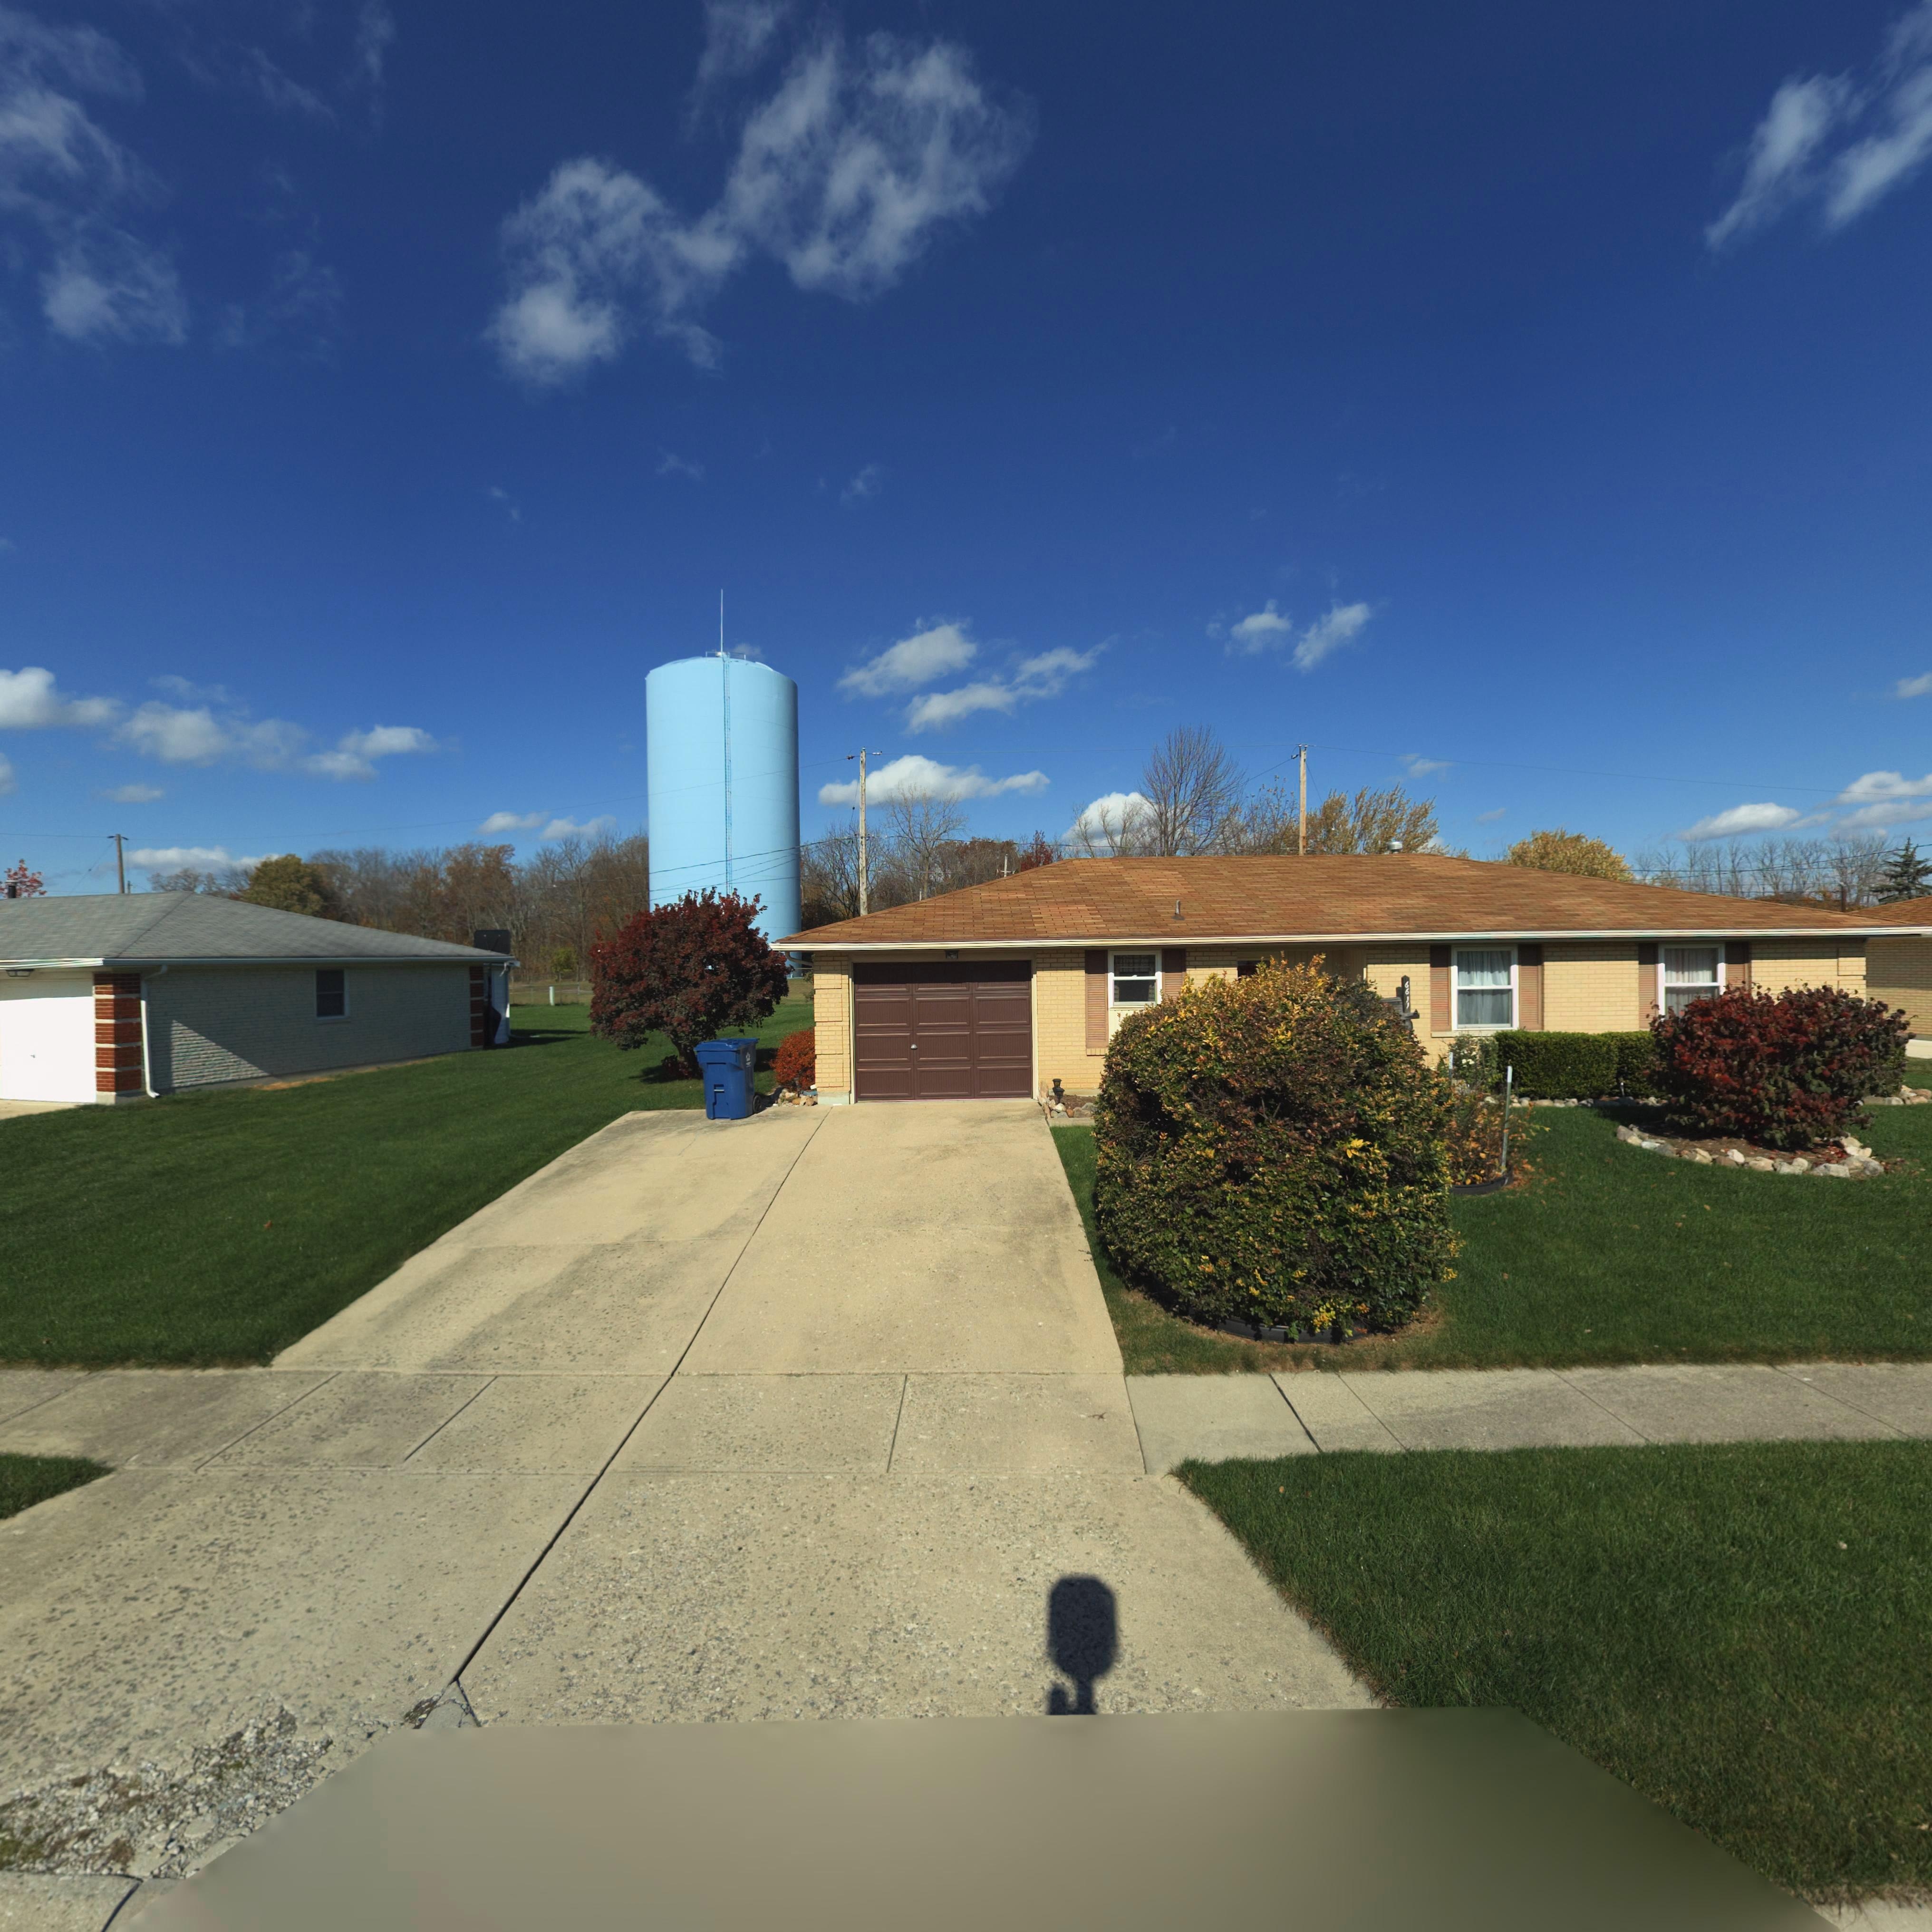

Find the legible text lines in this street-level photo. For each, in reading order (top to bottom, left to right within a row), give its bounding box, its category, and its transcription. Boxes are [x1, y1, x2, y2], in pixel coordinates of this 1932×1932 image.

[1404, 980, 1410, 1010] StreetNumber: 6611